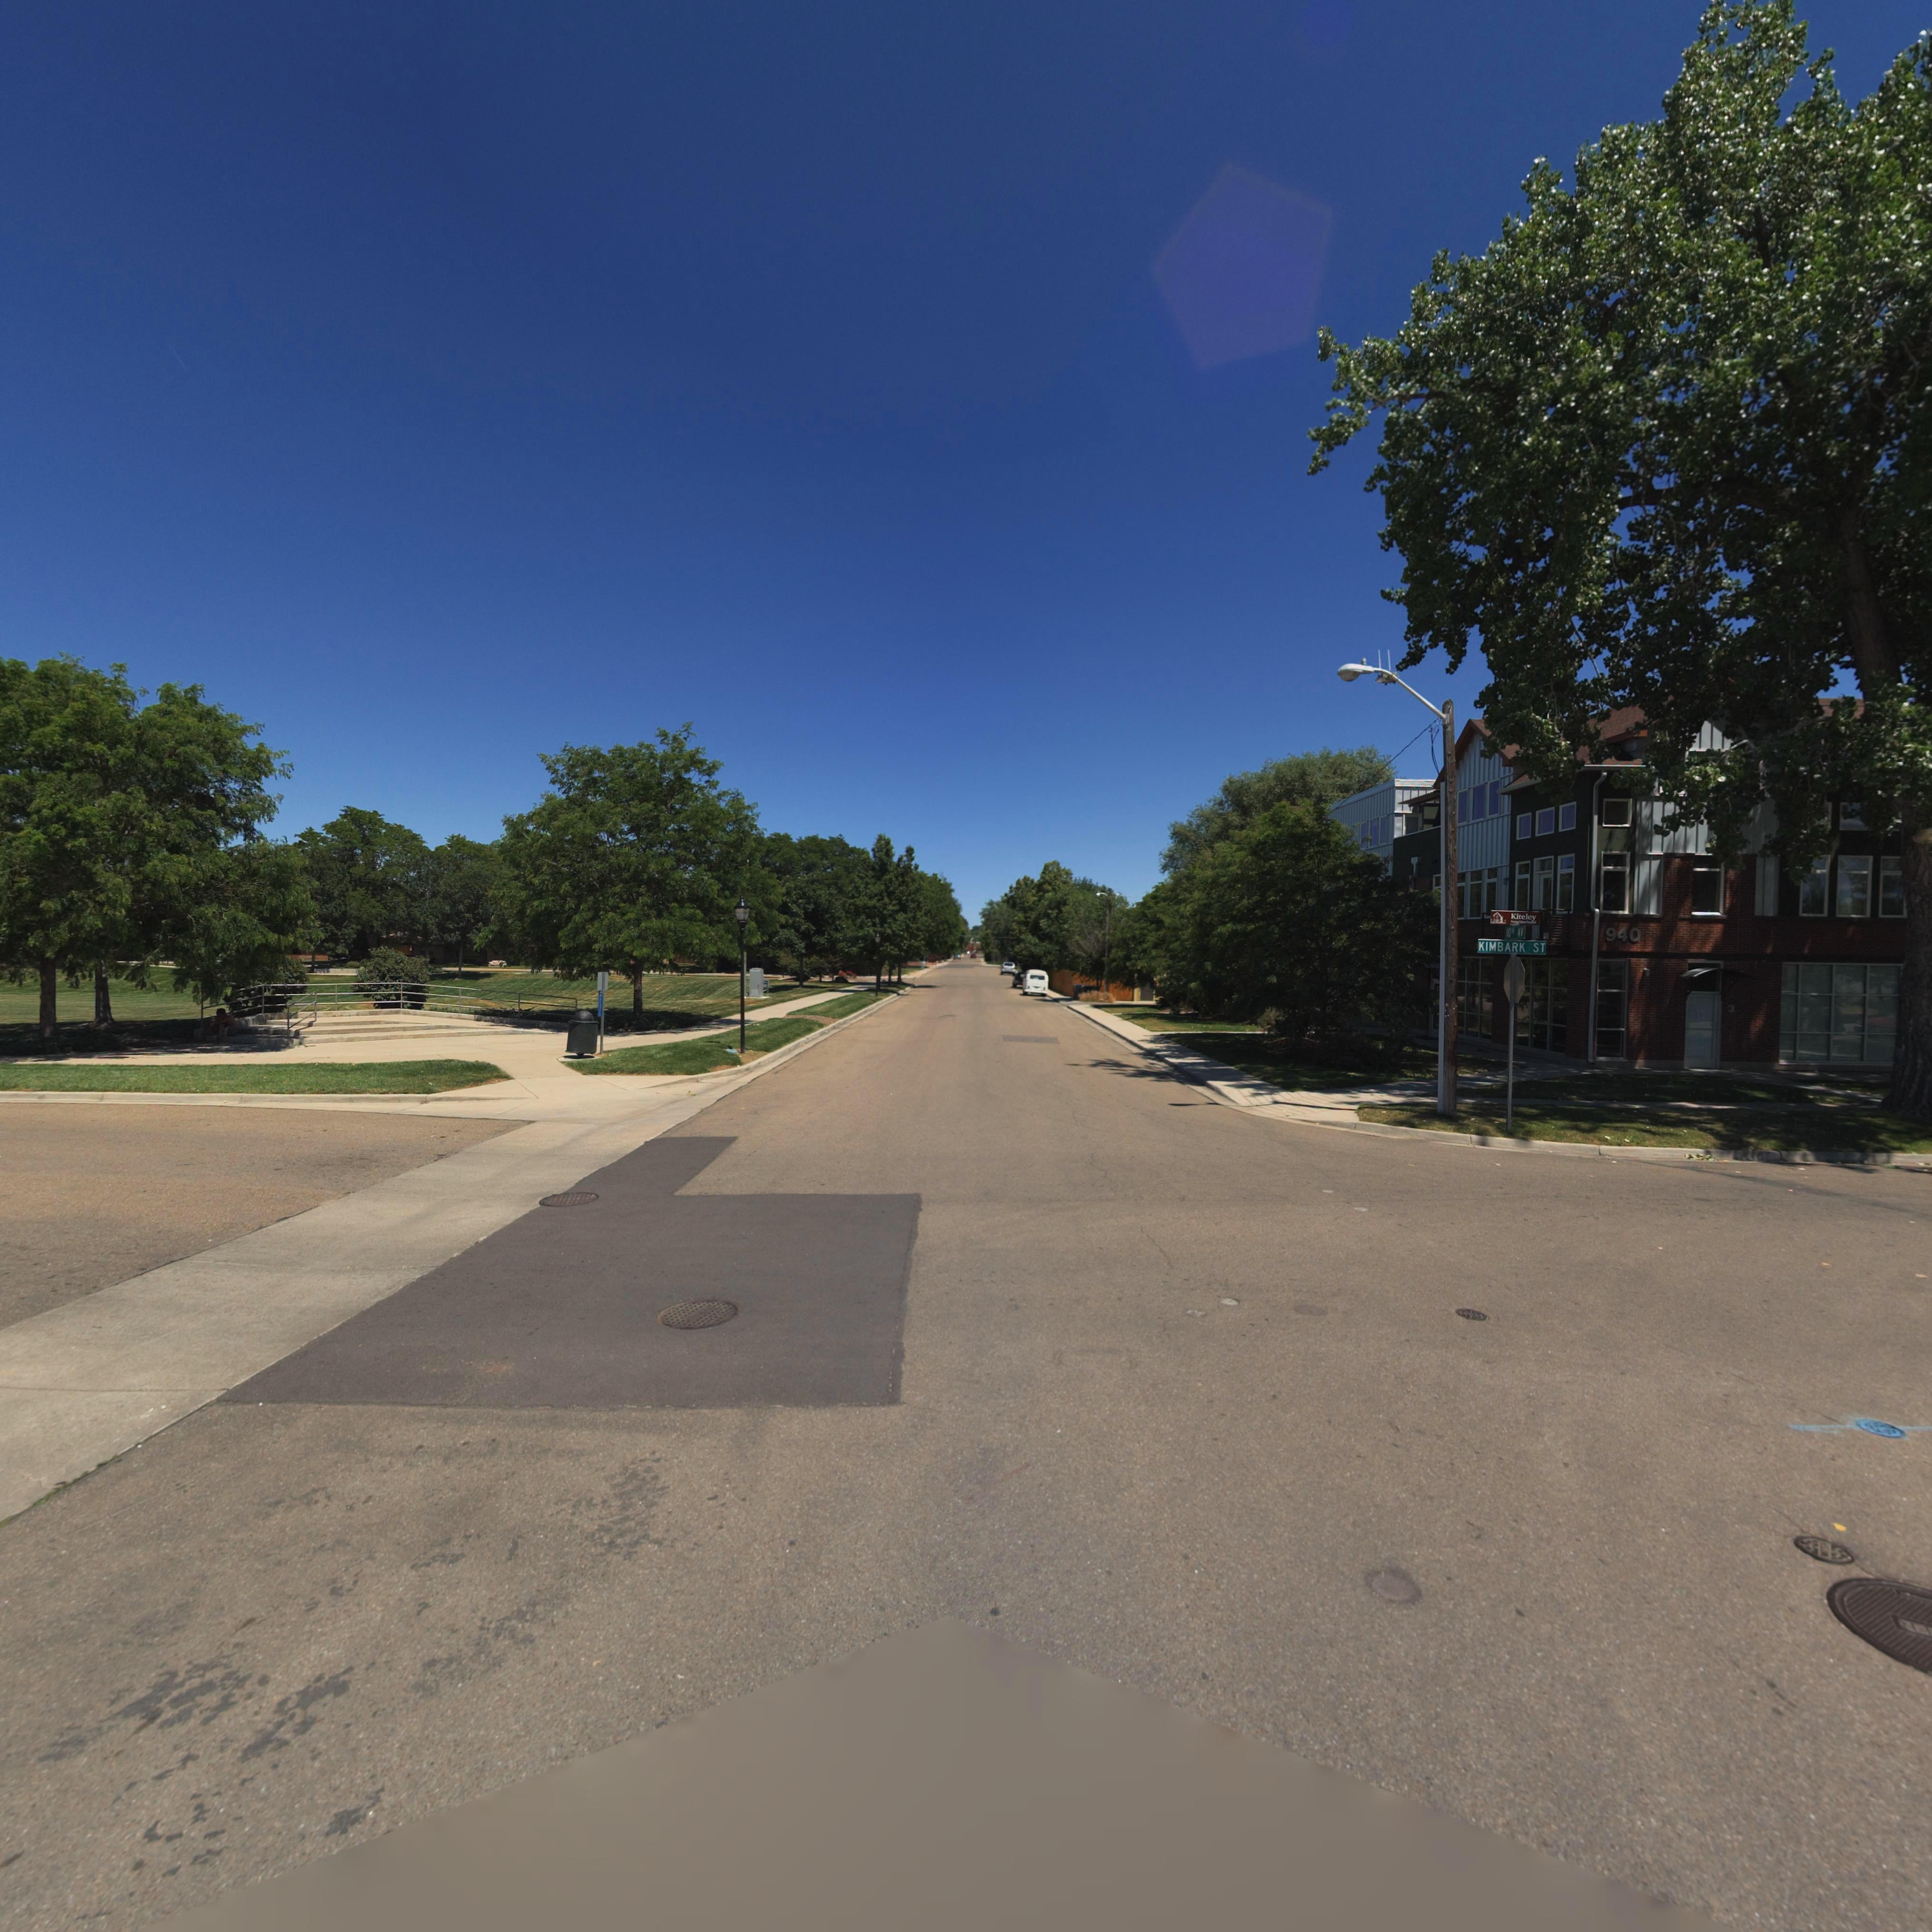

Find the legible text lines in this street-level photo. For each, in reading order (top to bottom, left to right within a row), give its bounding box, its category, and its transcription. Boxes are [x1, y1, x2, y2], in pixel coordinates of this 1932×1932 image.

[1506, 927, 1524, 938] StreetName: 10* AV
[1605, 927, 1641, 942] StreetNumber: 940
[1478, 940, 1546, 953] StreetName: KIMBARK ST
[1728, 1004, 1735, 1013] StreetNumber: 3